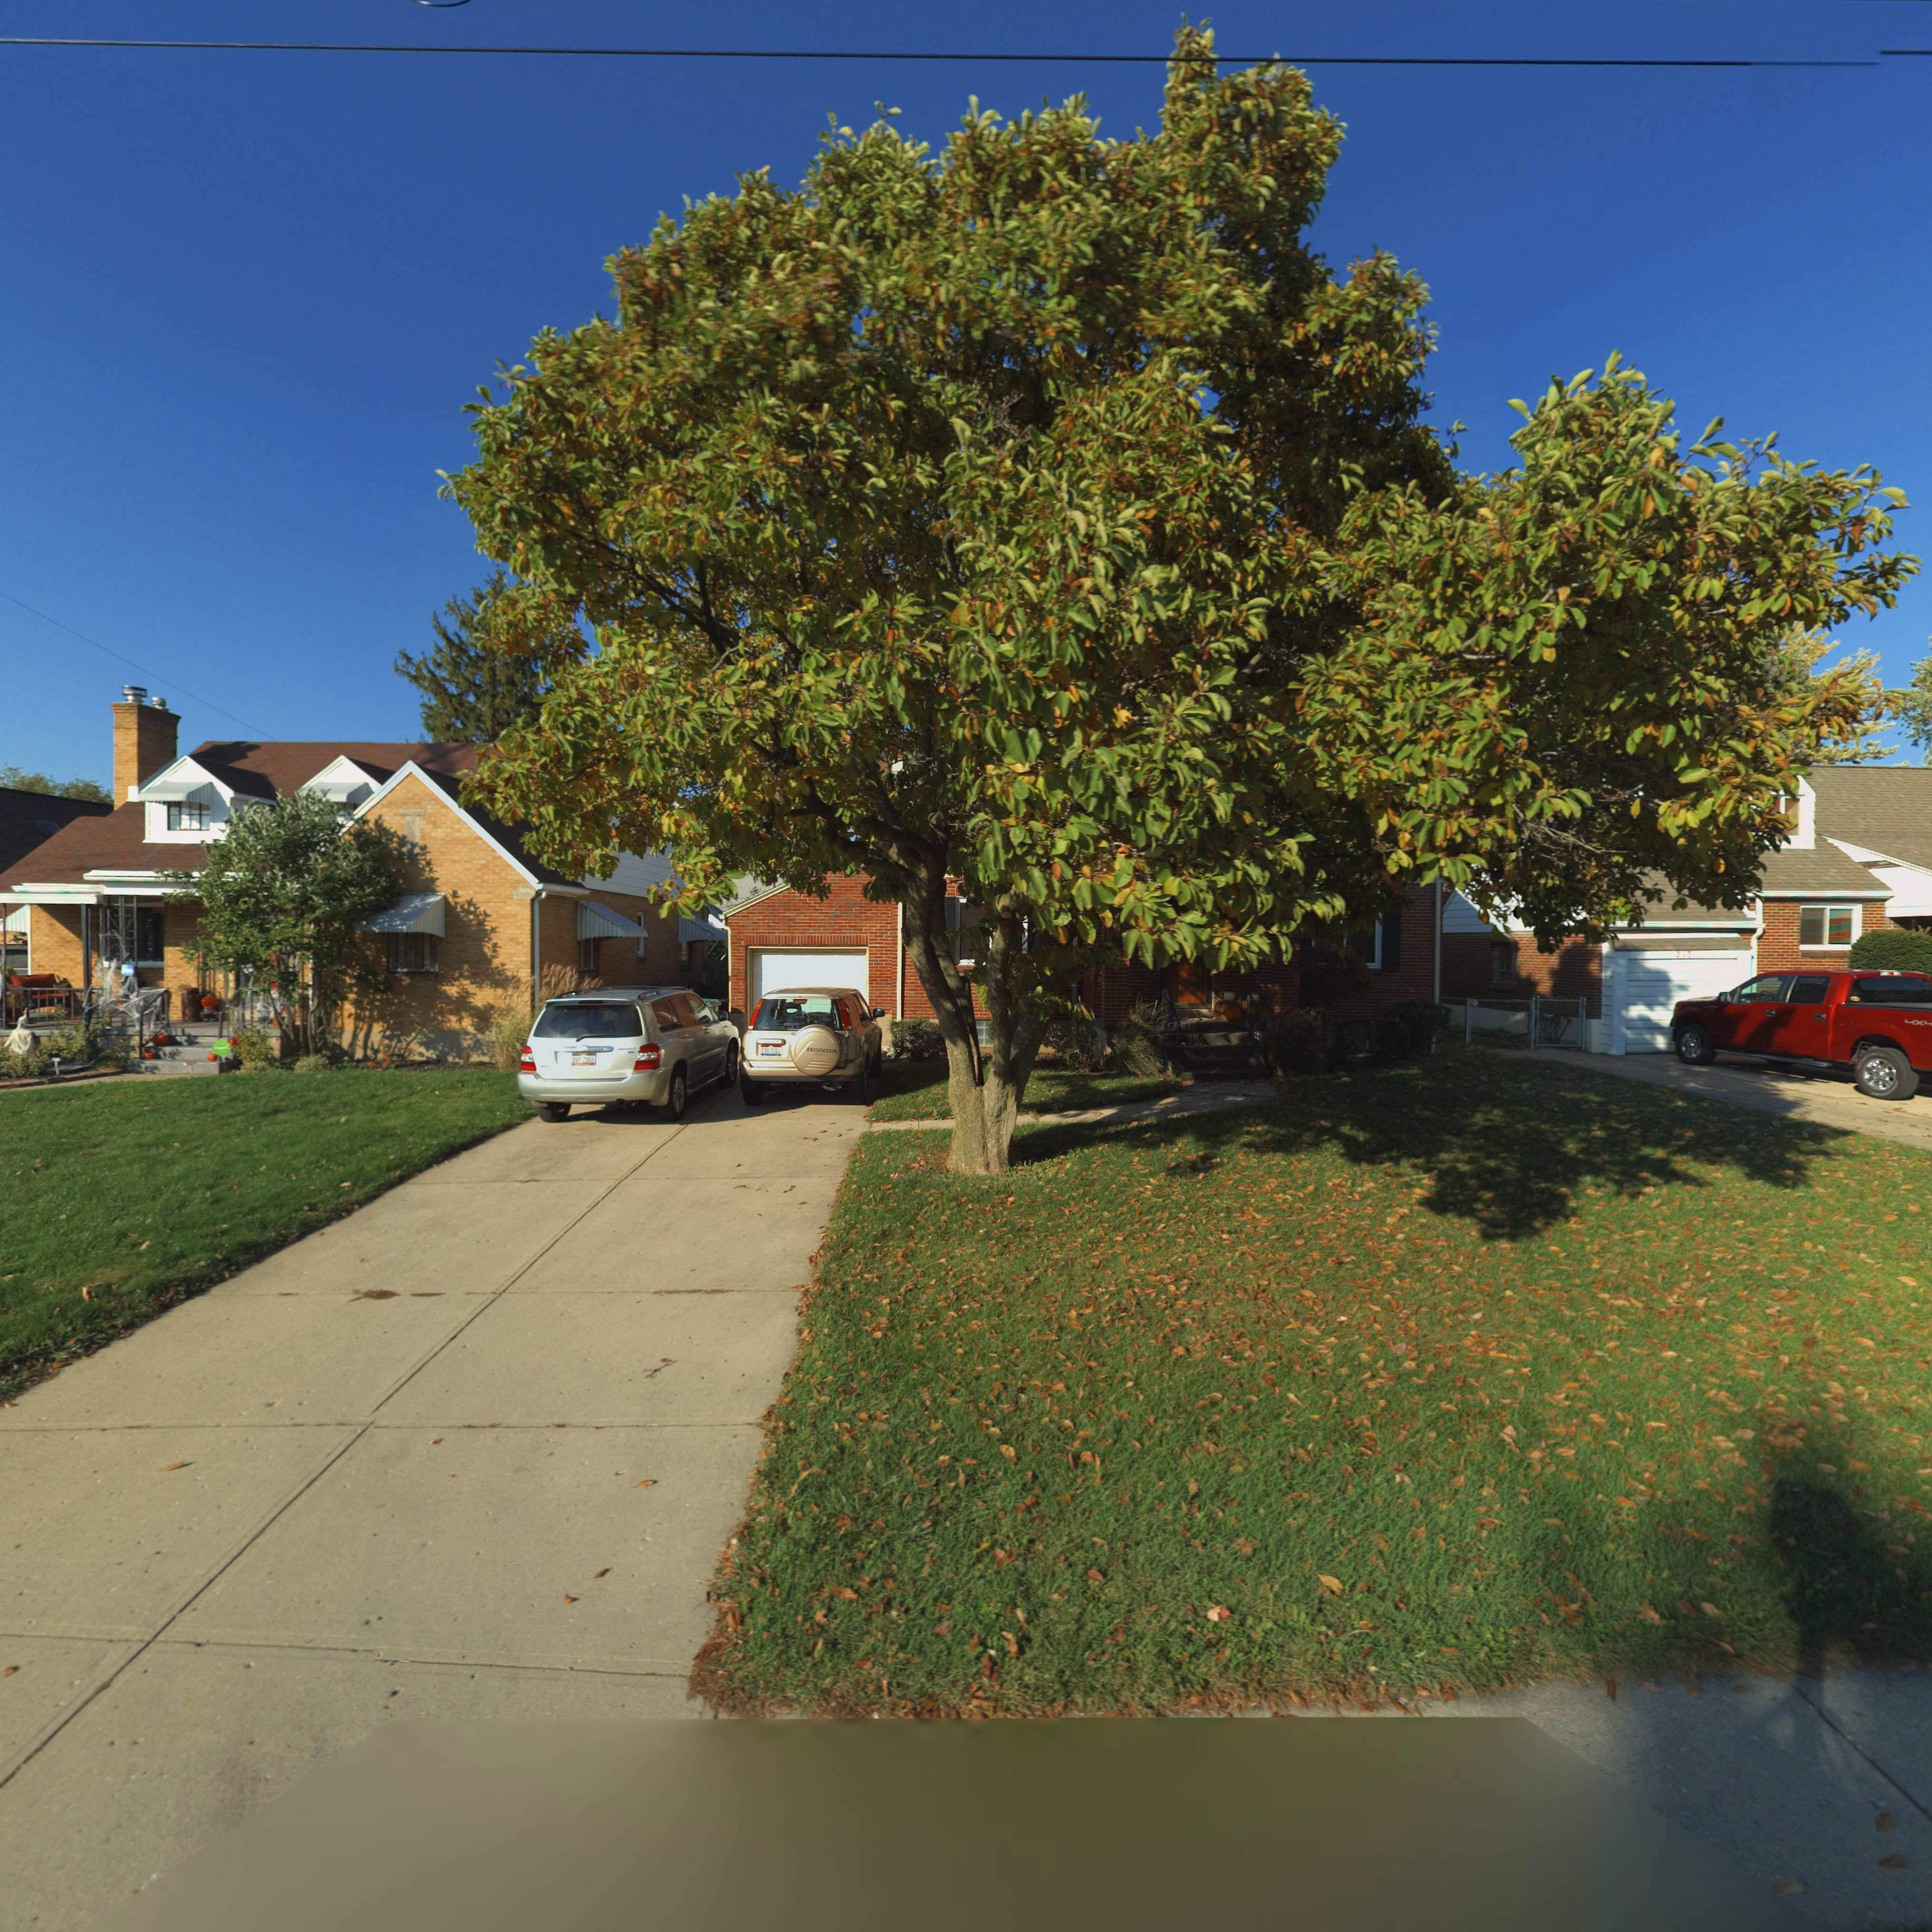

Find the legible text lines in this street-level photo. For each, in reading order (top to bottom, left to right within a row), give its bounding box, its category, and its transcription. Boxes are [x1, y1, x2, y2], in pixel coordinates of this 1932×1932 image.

[1675, 950, 1692, 959] StreetNumber: 2**
[1903, 1018, 1926, 1027] None: 4X
[760, 1046, 781, 1055] None: E*U 7261
[805, 1046, 838, 1054] None: HONDA